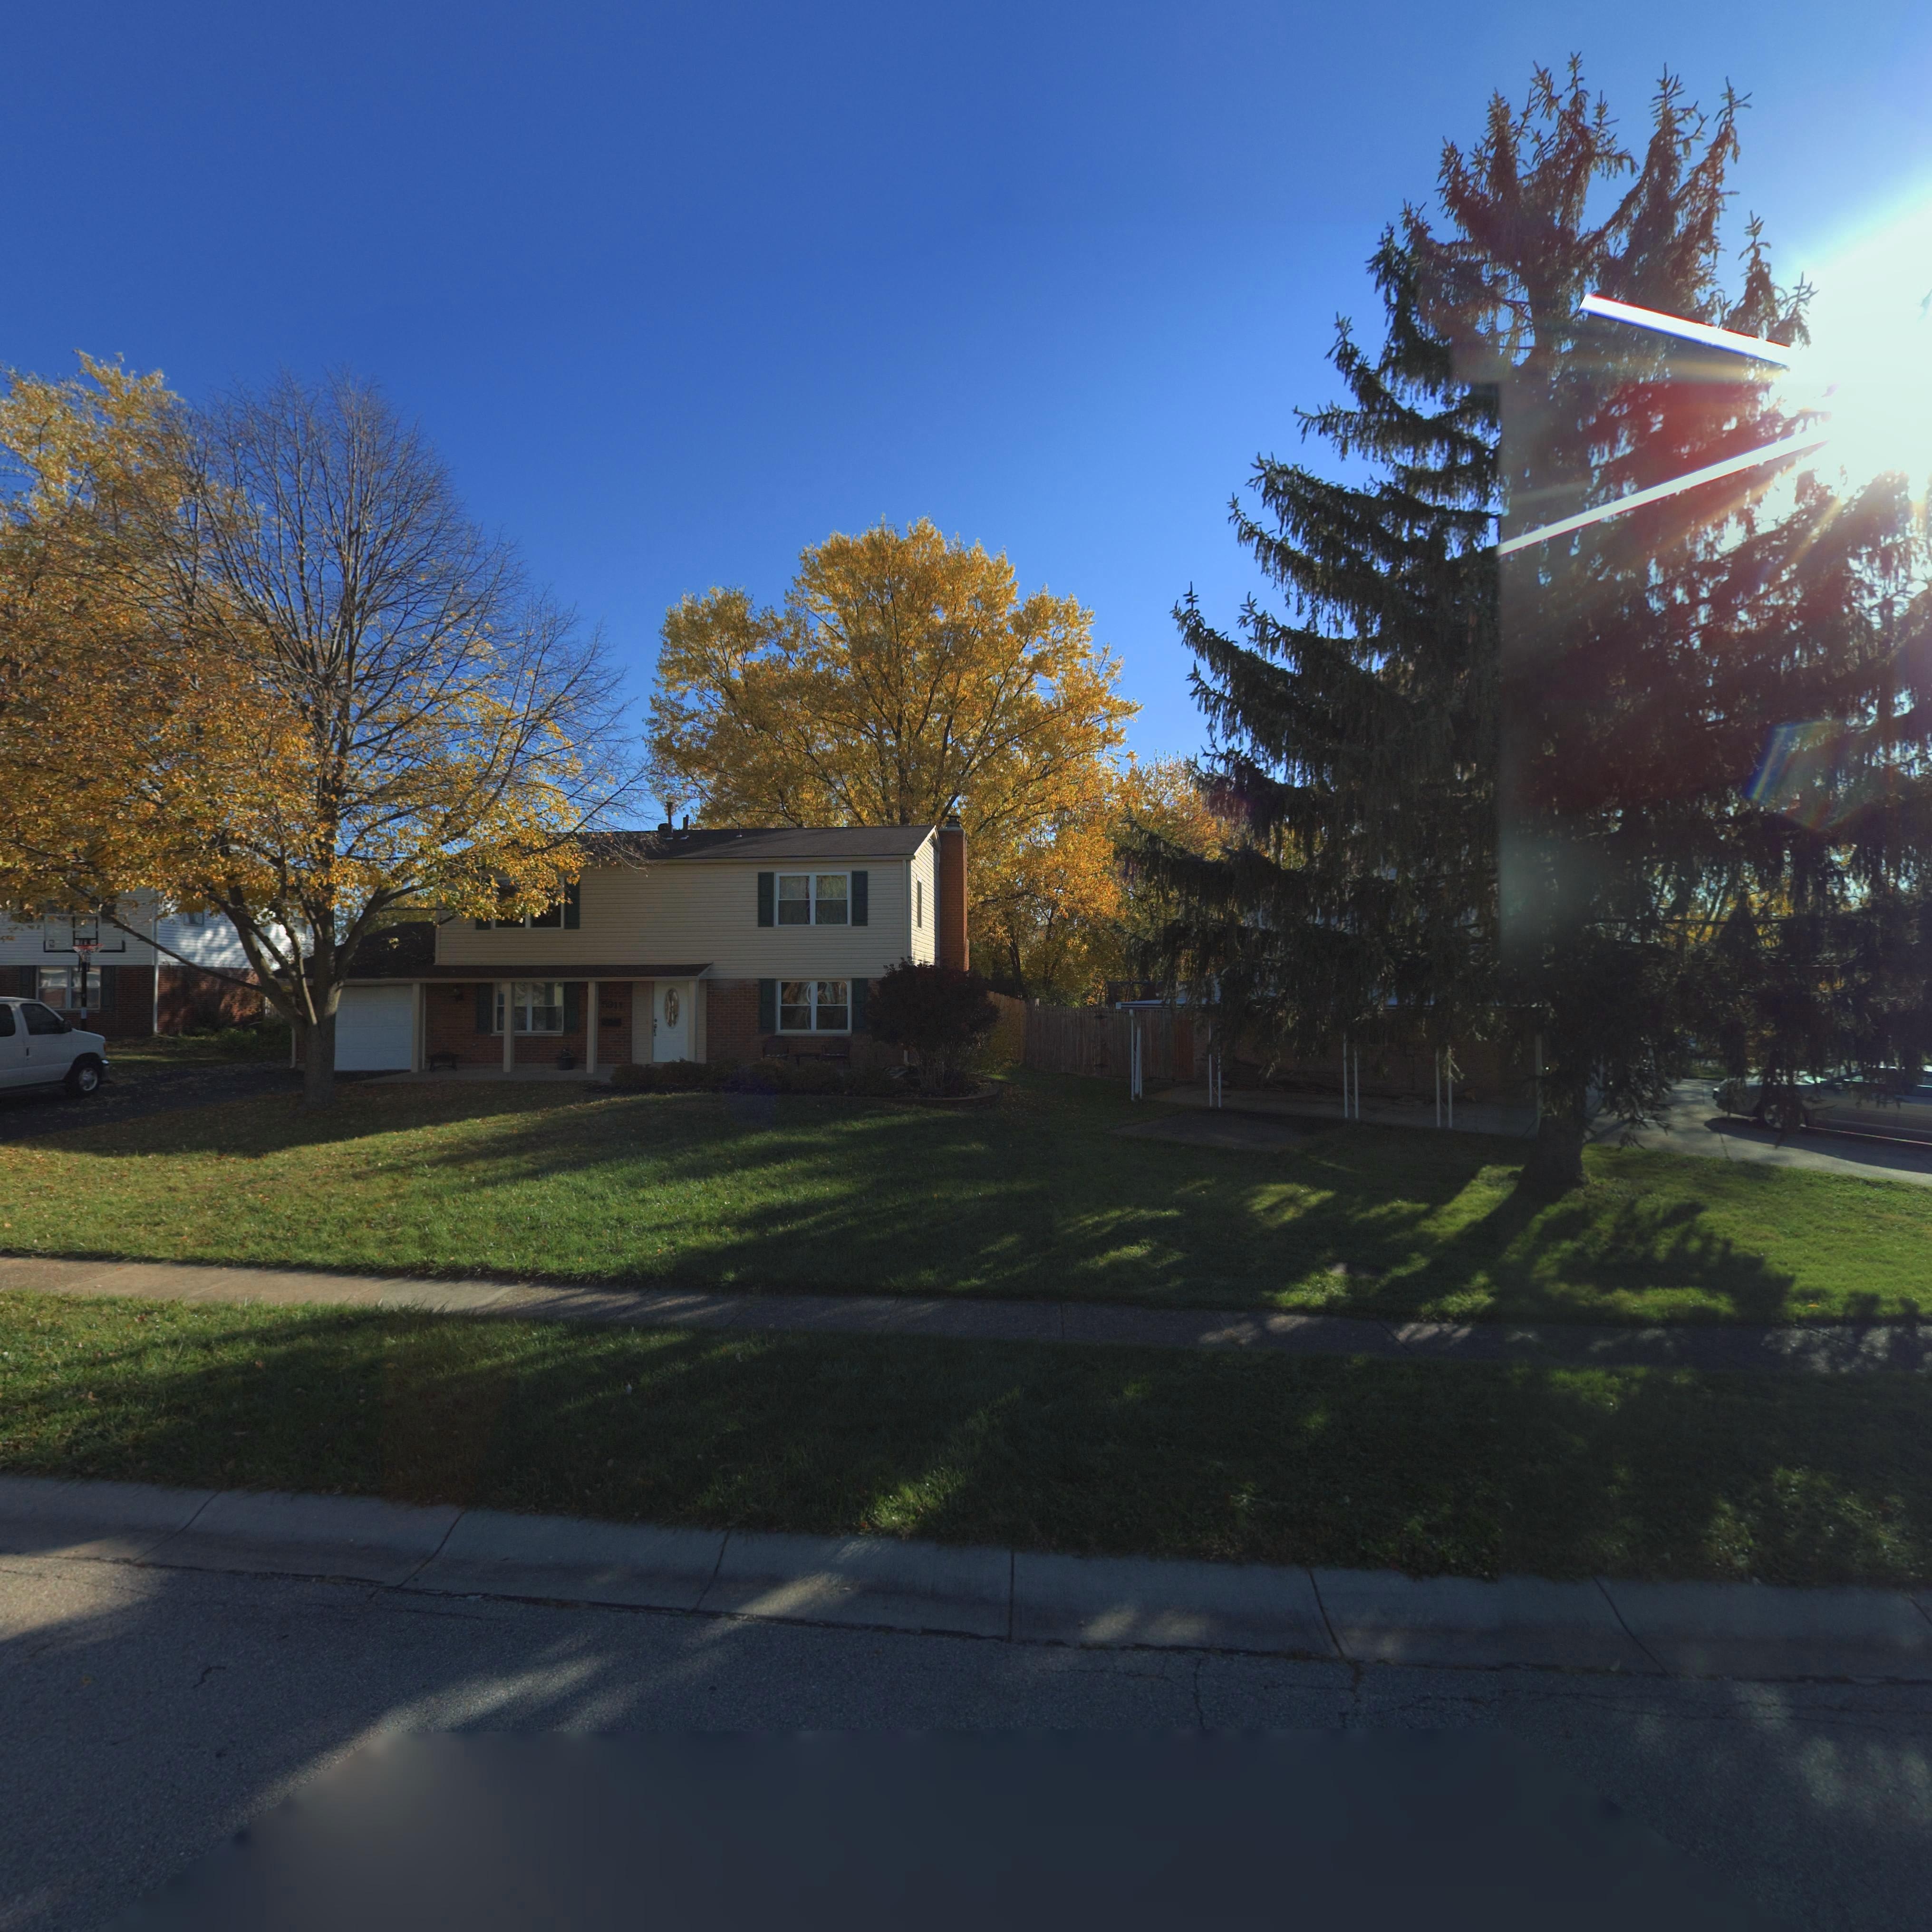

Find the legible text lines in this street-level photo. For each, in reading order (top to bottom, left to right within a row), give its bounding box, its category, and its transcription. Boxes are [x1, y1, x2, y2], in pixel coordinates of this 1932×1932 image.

[600, 999, 623, 1010] StreetNumber: 5911